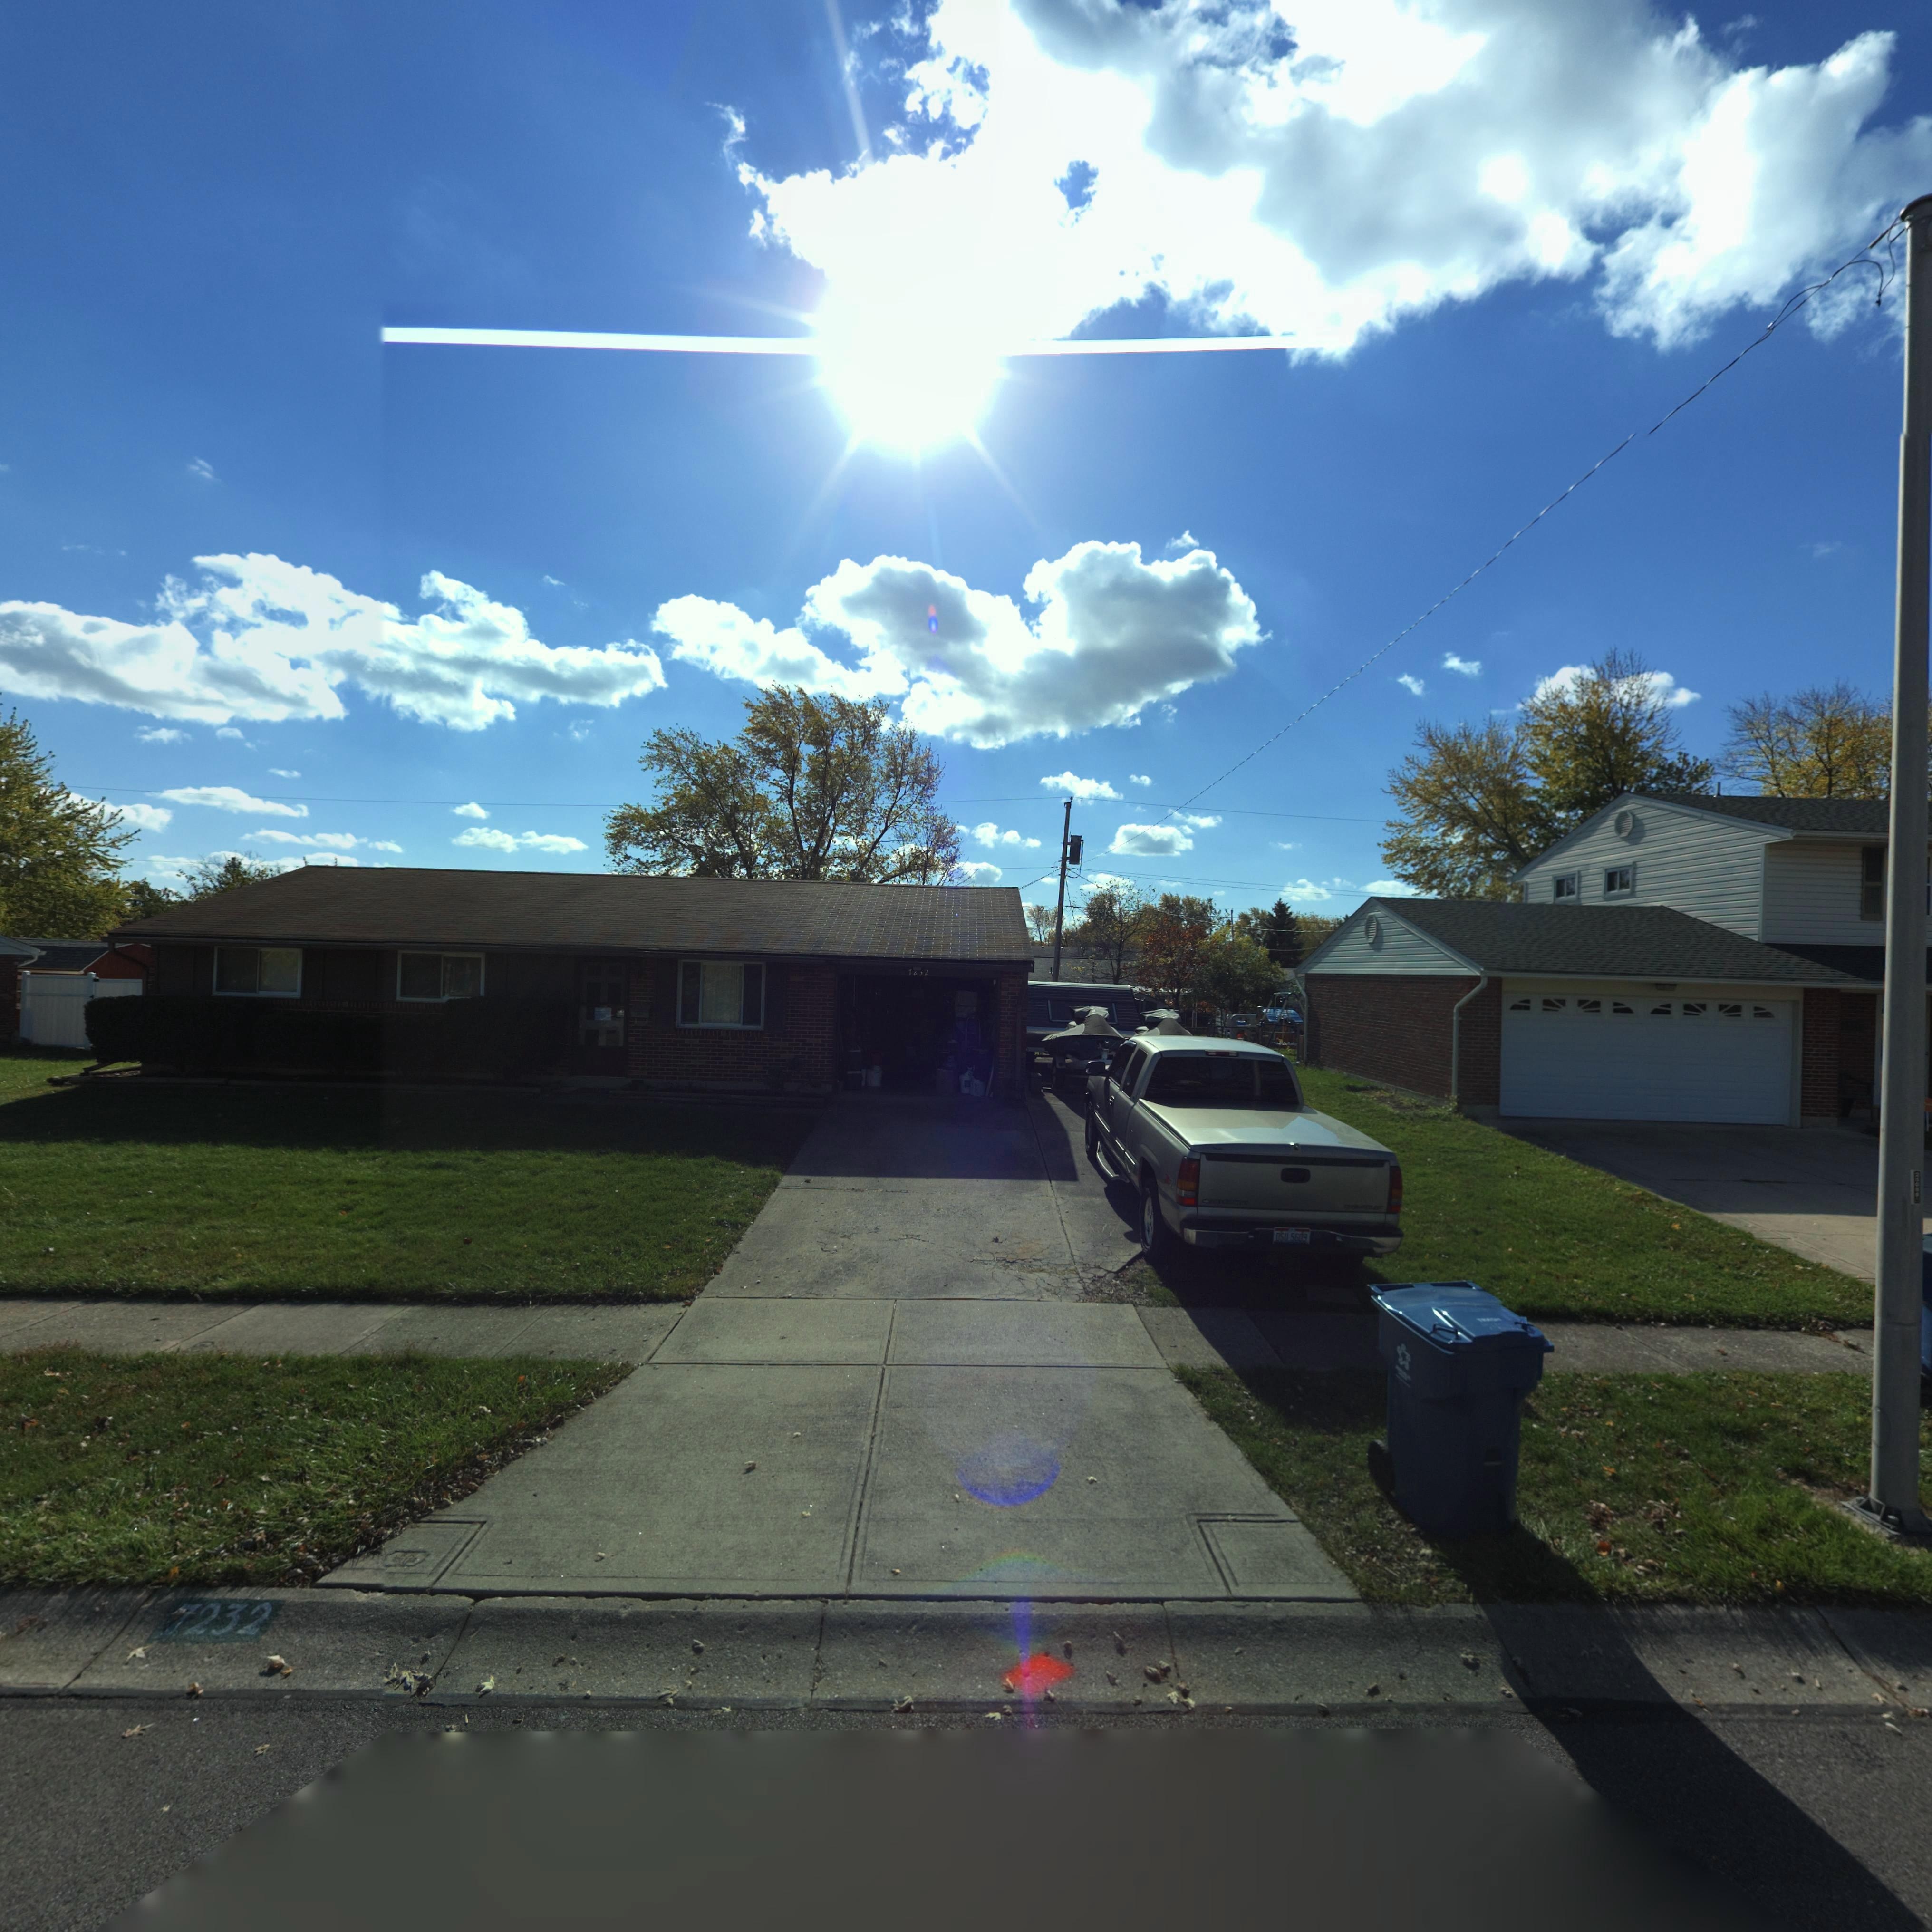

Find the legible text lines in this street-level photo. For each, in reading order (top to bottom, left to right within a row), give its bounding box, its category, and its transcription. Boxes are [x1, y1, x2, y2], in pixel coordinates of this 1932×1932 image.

[907, 967, 930, 977] StreetNumber: 7**2
[162, 1600, 275, 1639] StreetNumber: 7232